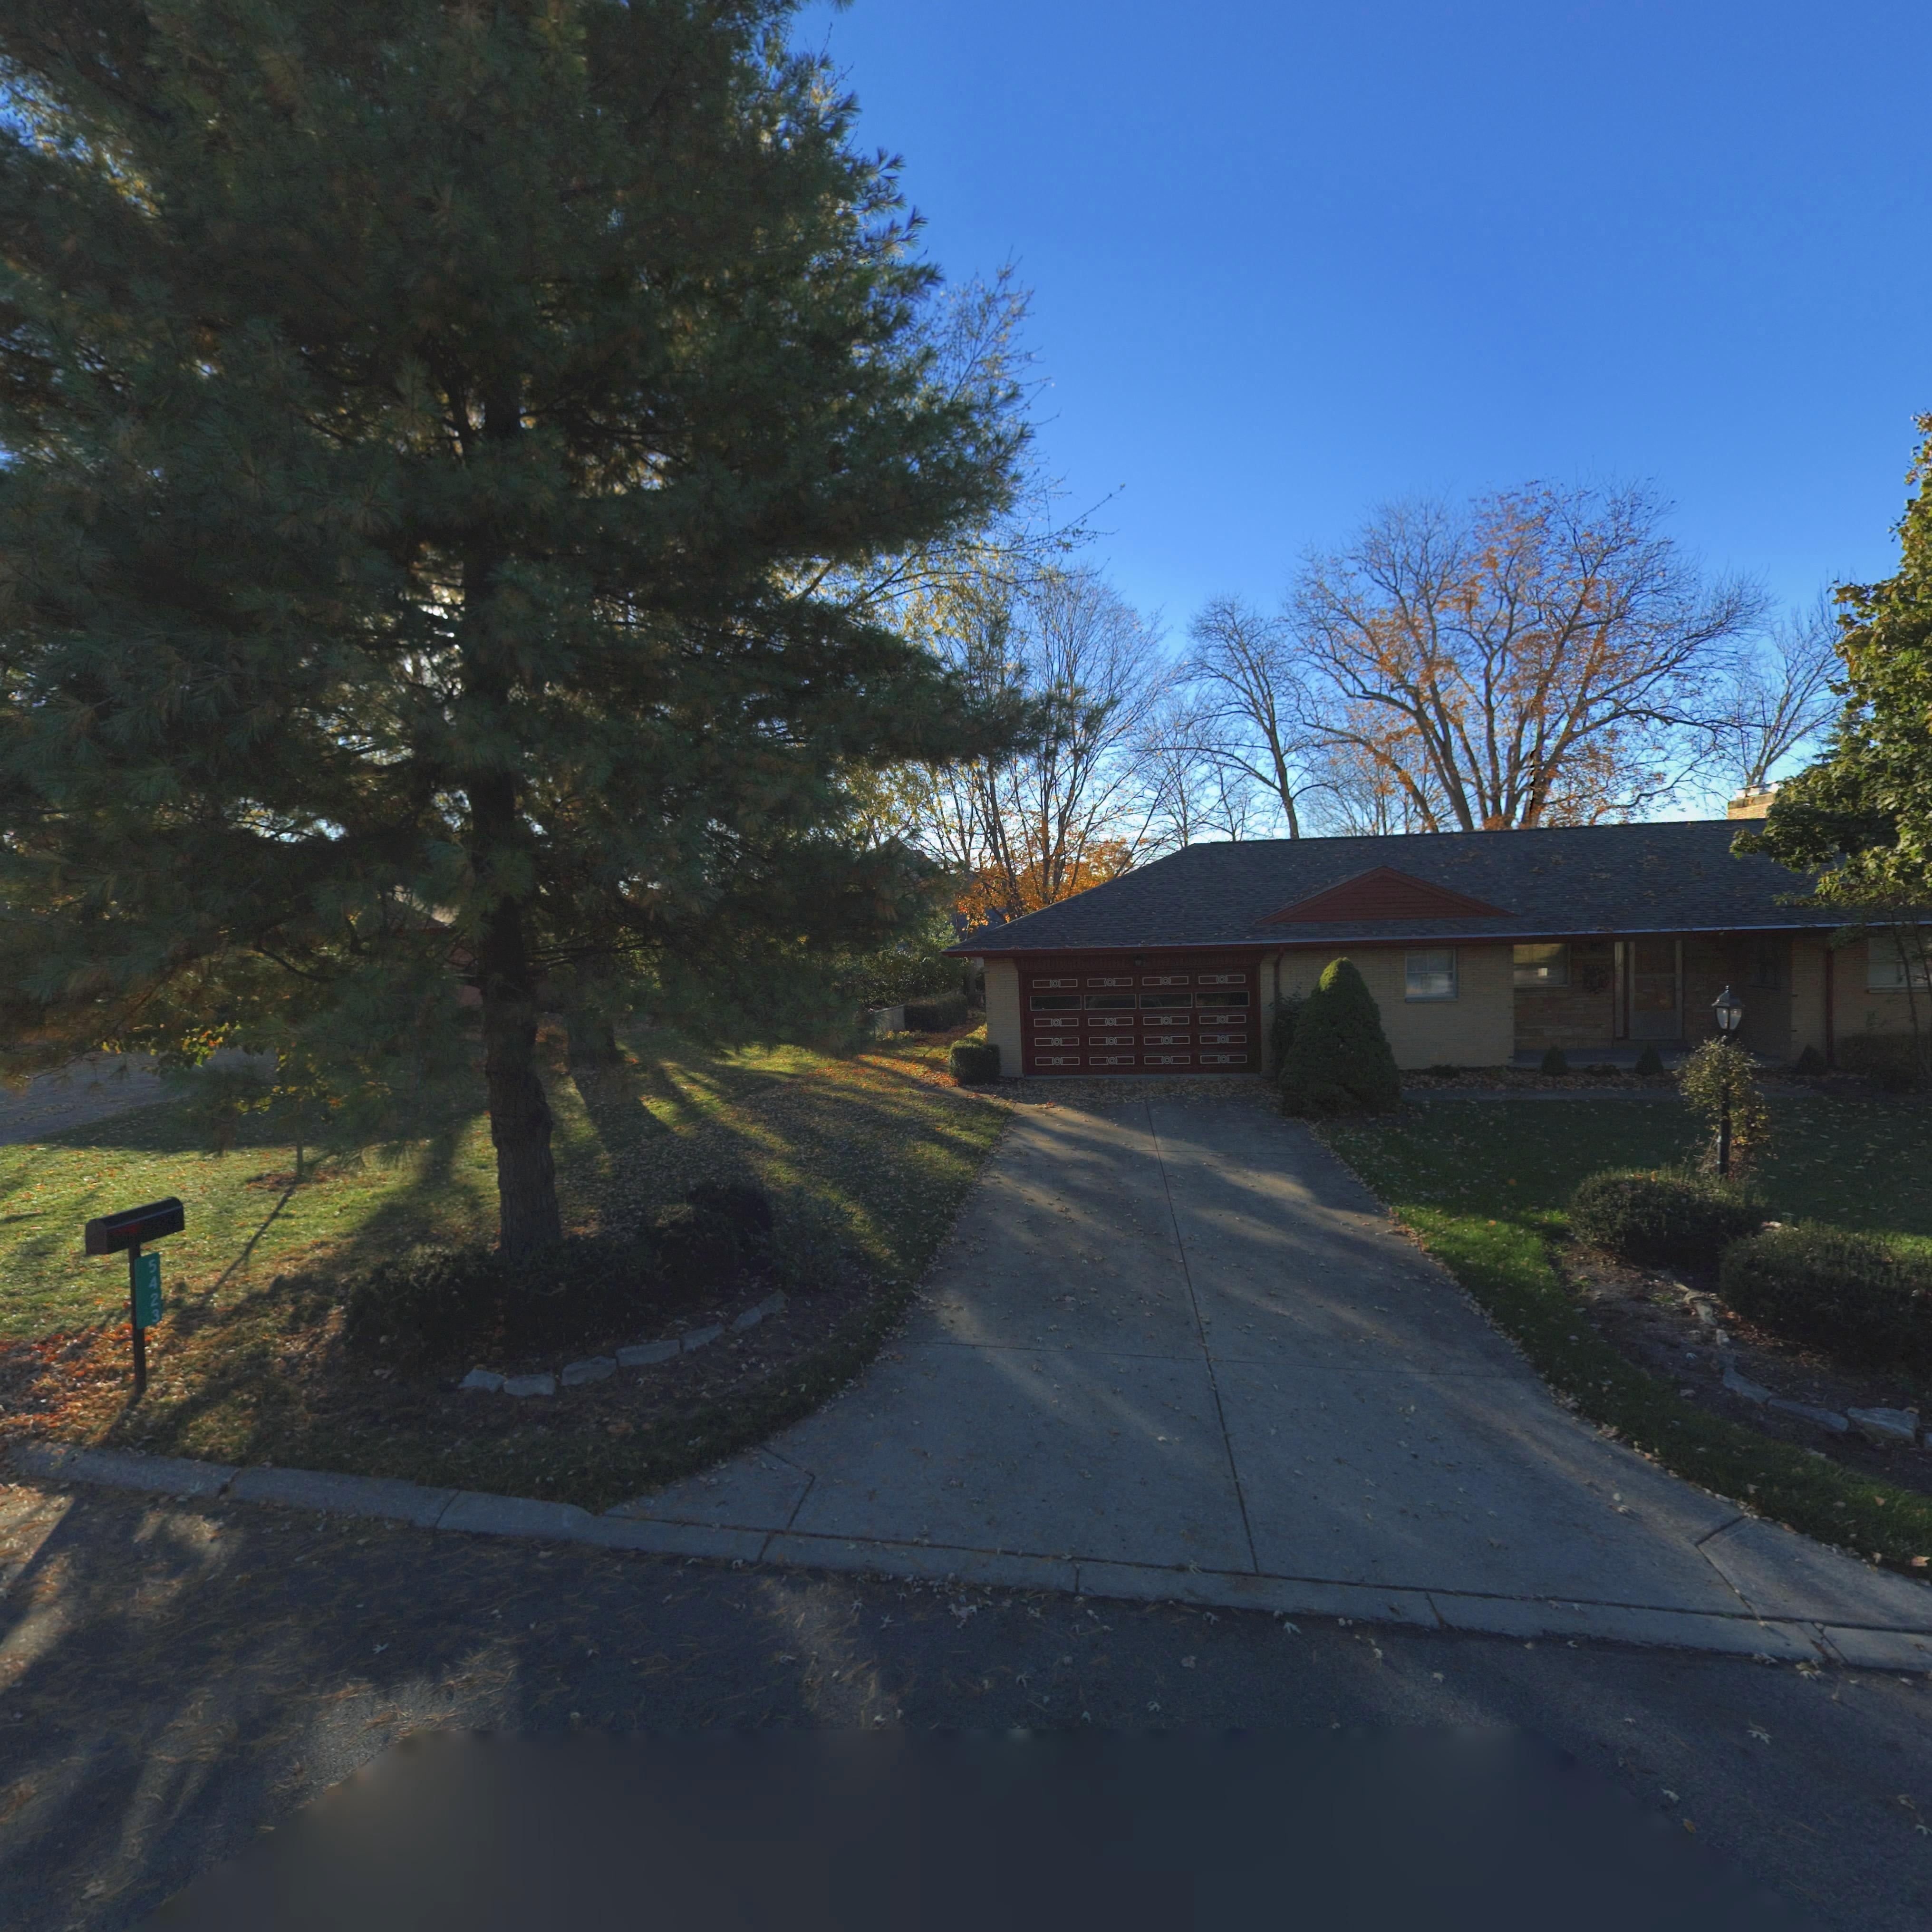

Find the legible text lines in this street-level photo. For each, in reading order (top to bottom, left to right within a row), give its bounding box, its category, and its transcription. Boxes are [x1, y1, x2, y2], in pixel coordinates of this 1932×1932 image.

[147, 1256, 161, 1324] StreetNumber: 5423